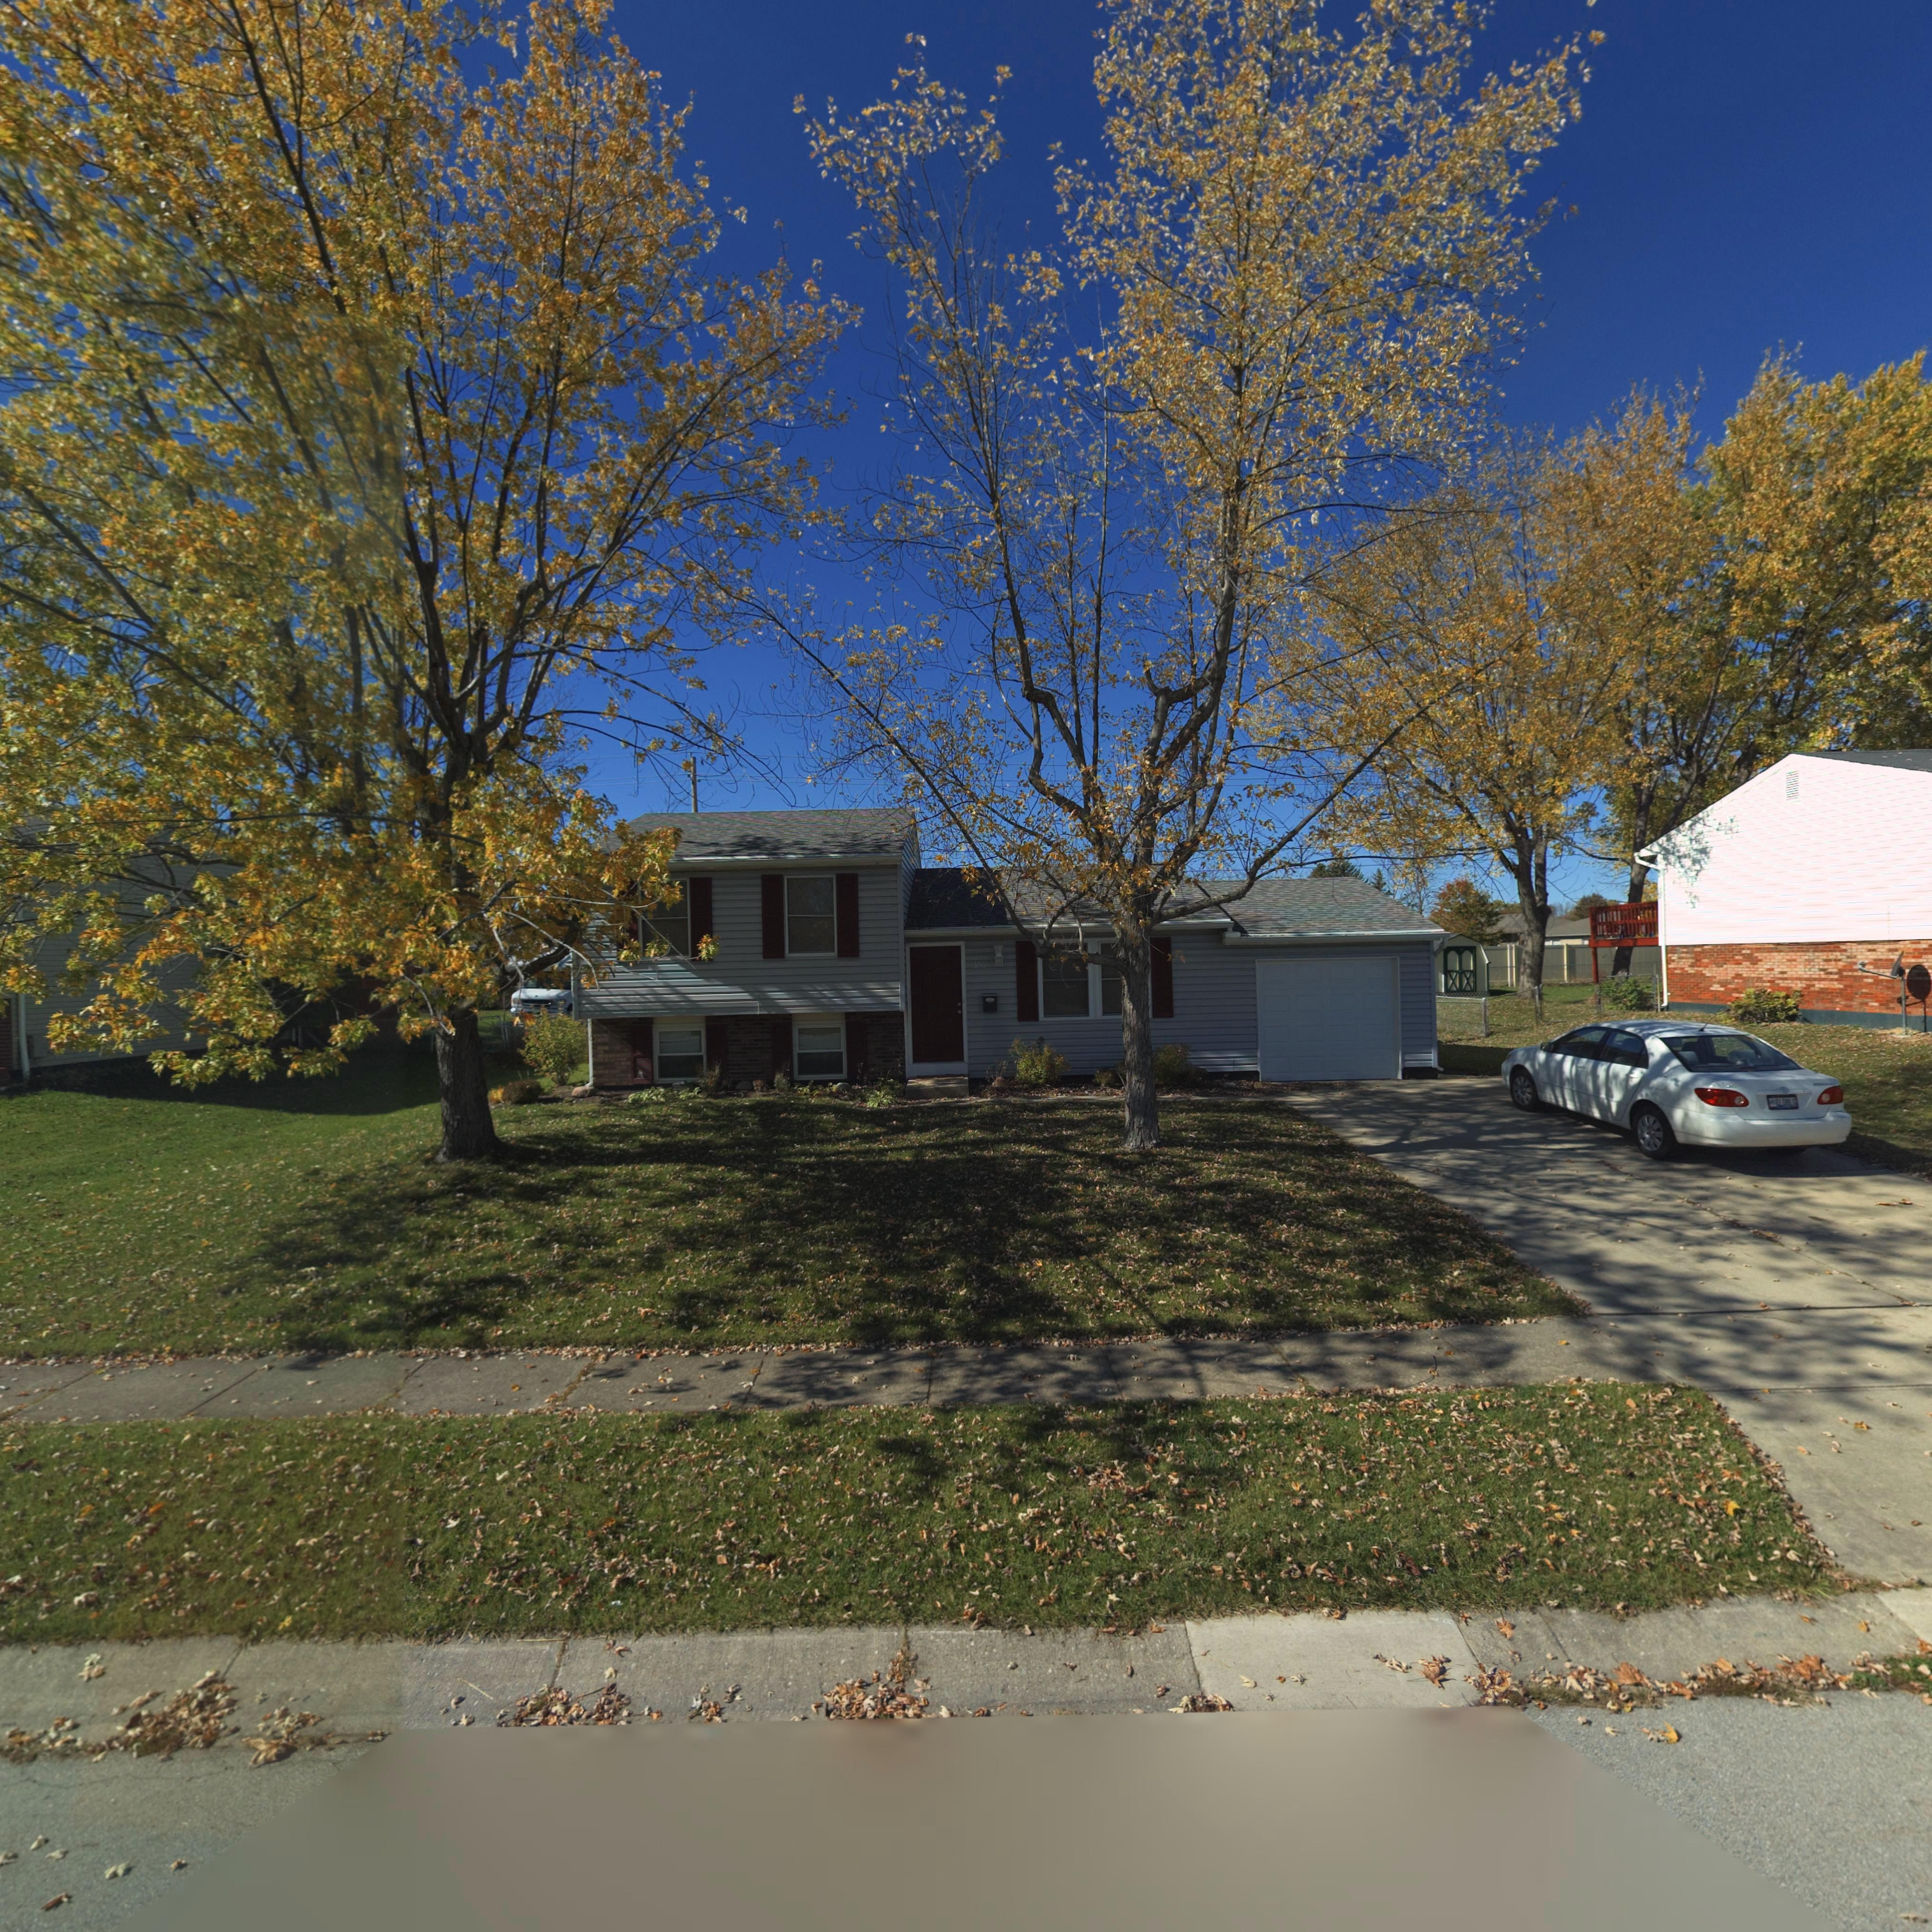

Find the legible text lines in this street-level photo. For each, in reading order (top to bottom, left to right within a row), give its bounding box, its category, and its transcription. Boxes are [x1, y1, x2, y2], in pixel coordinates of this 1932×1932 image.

[971, 961, 986, 969] StreetNumber: 306